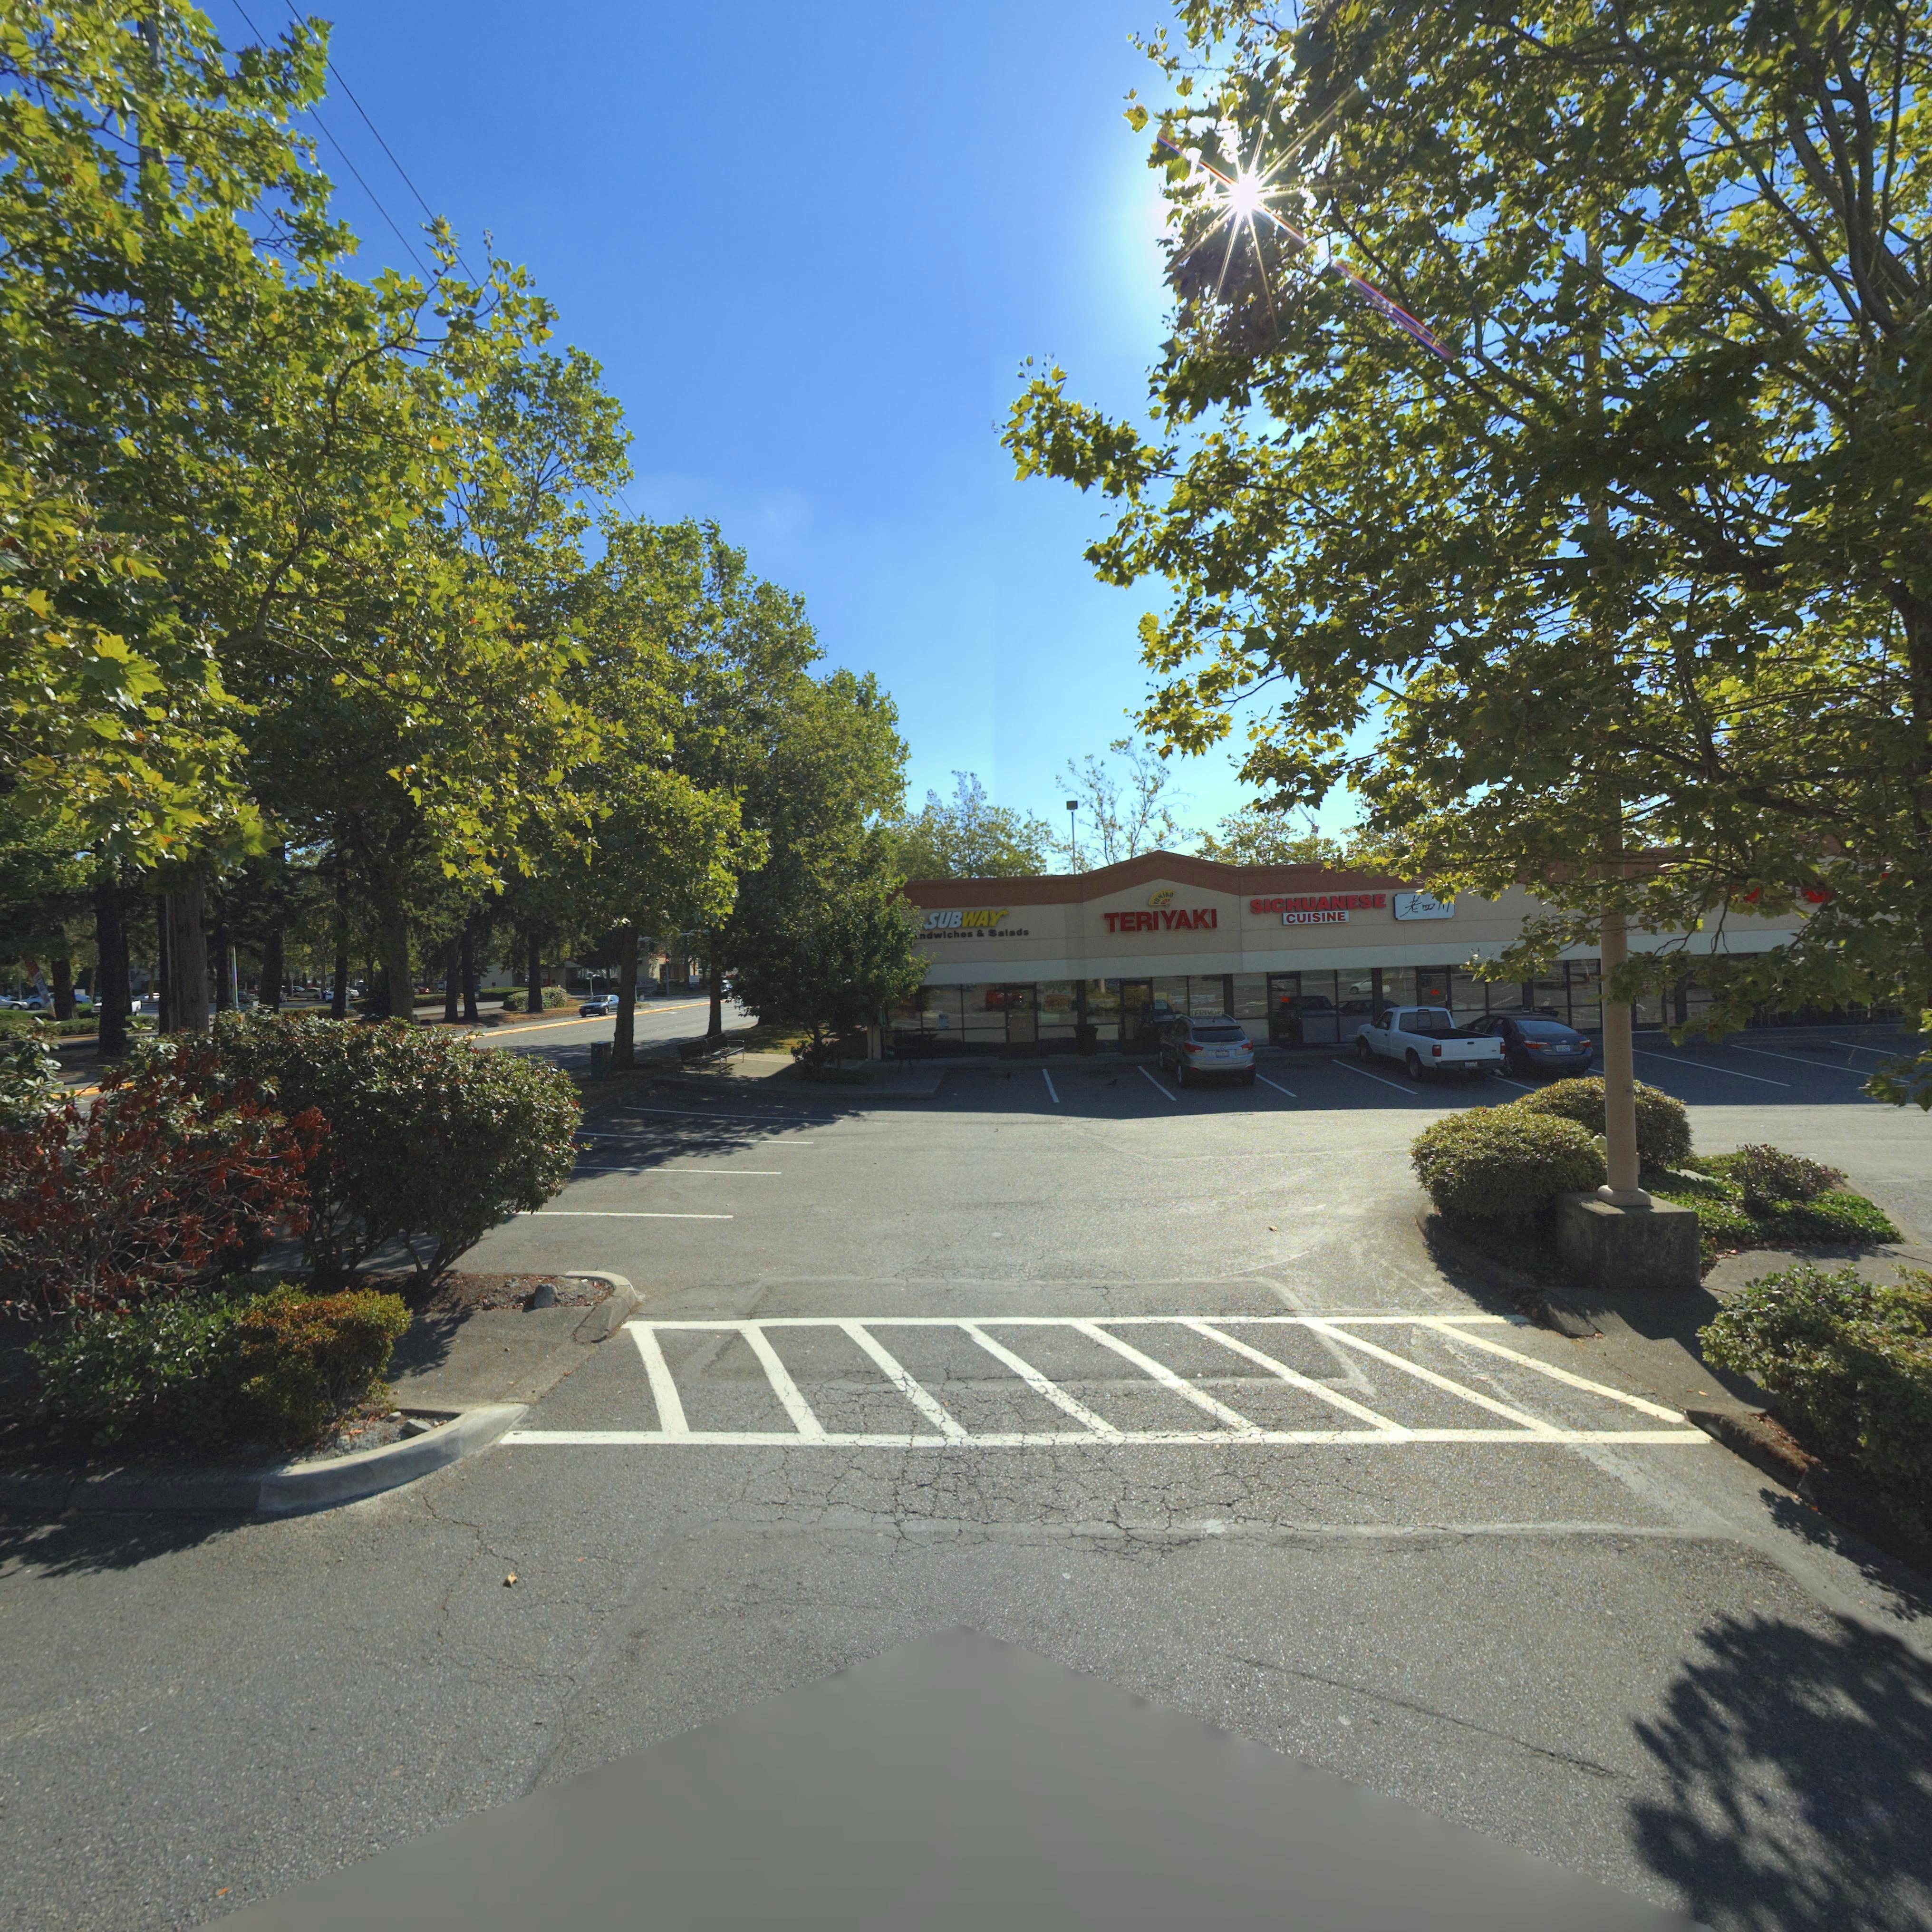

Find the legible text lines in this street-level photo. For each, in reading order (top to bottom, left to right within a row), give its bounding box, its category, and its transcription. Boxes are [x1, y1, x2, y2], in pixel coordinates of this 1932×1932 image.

[1152, 891, 1174, 904] BusinessName: YUMIKO
[1249, 893, 1387, 913] BusinessName: SICHUANESE
[927, 909, 1006, 929] BusinessName: SUBWAY
[1102, 908, 1218, 933] BusinessName: TERIYAKI
[1286, 912, 1346, 923] BusinessName: CUISINE